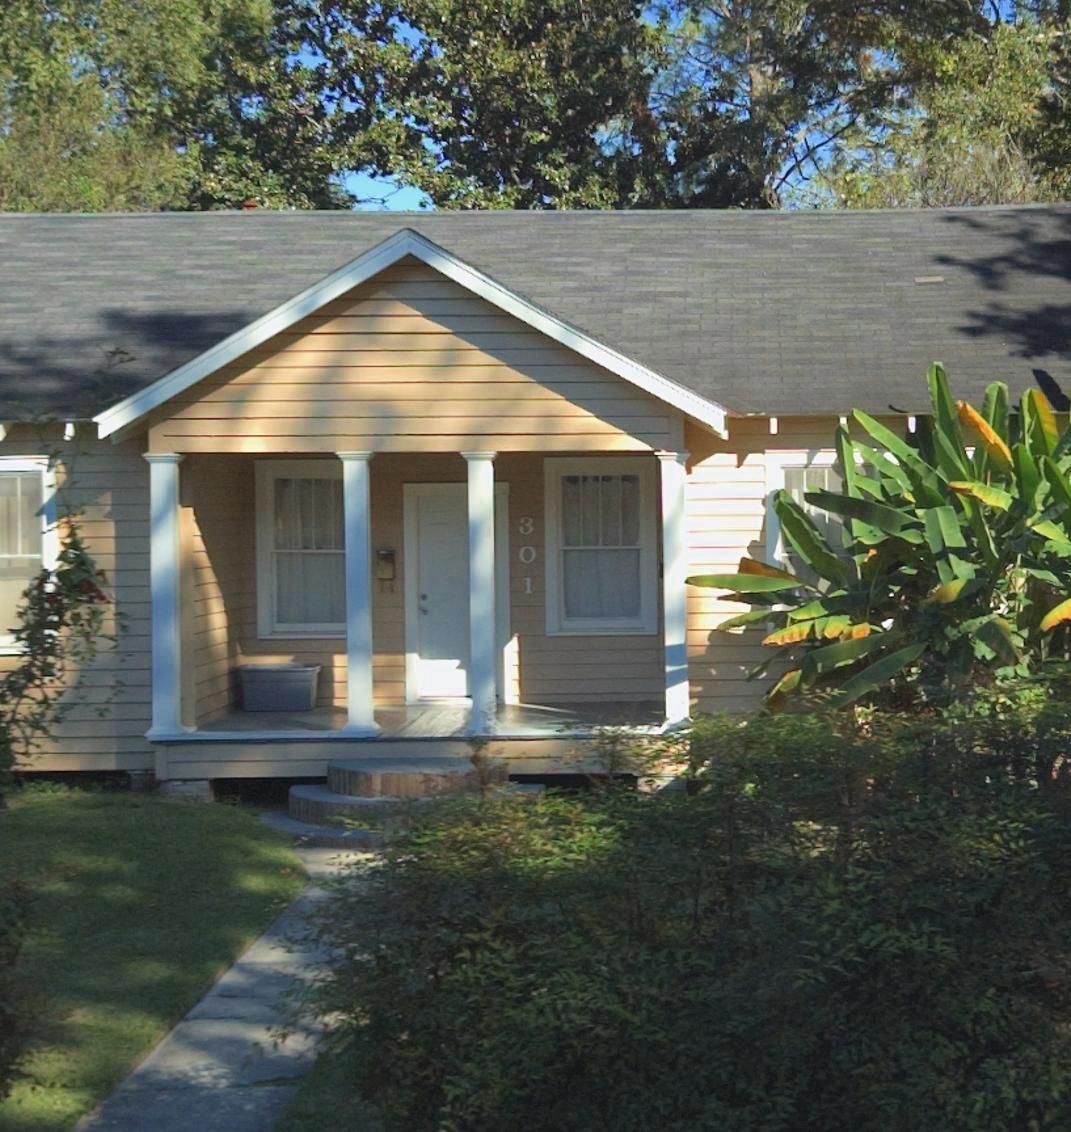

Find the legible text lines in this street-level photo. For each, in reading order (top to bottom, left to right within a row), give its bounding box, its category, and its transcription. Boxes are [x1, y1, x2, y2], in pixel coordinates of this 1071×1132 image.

[515, 512, 540, 597] StreetNumber: 301